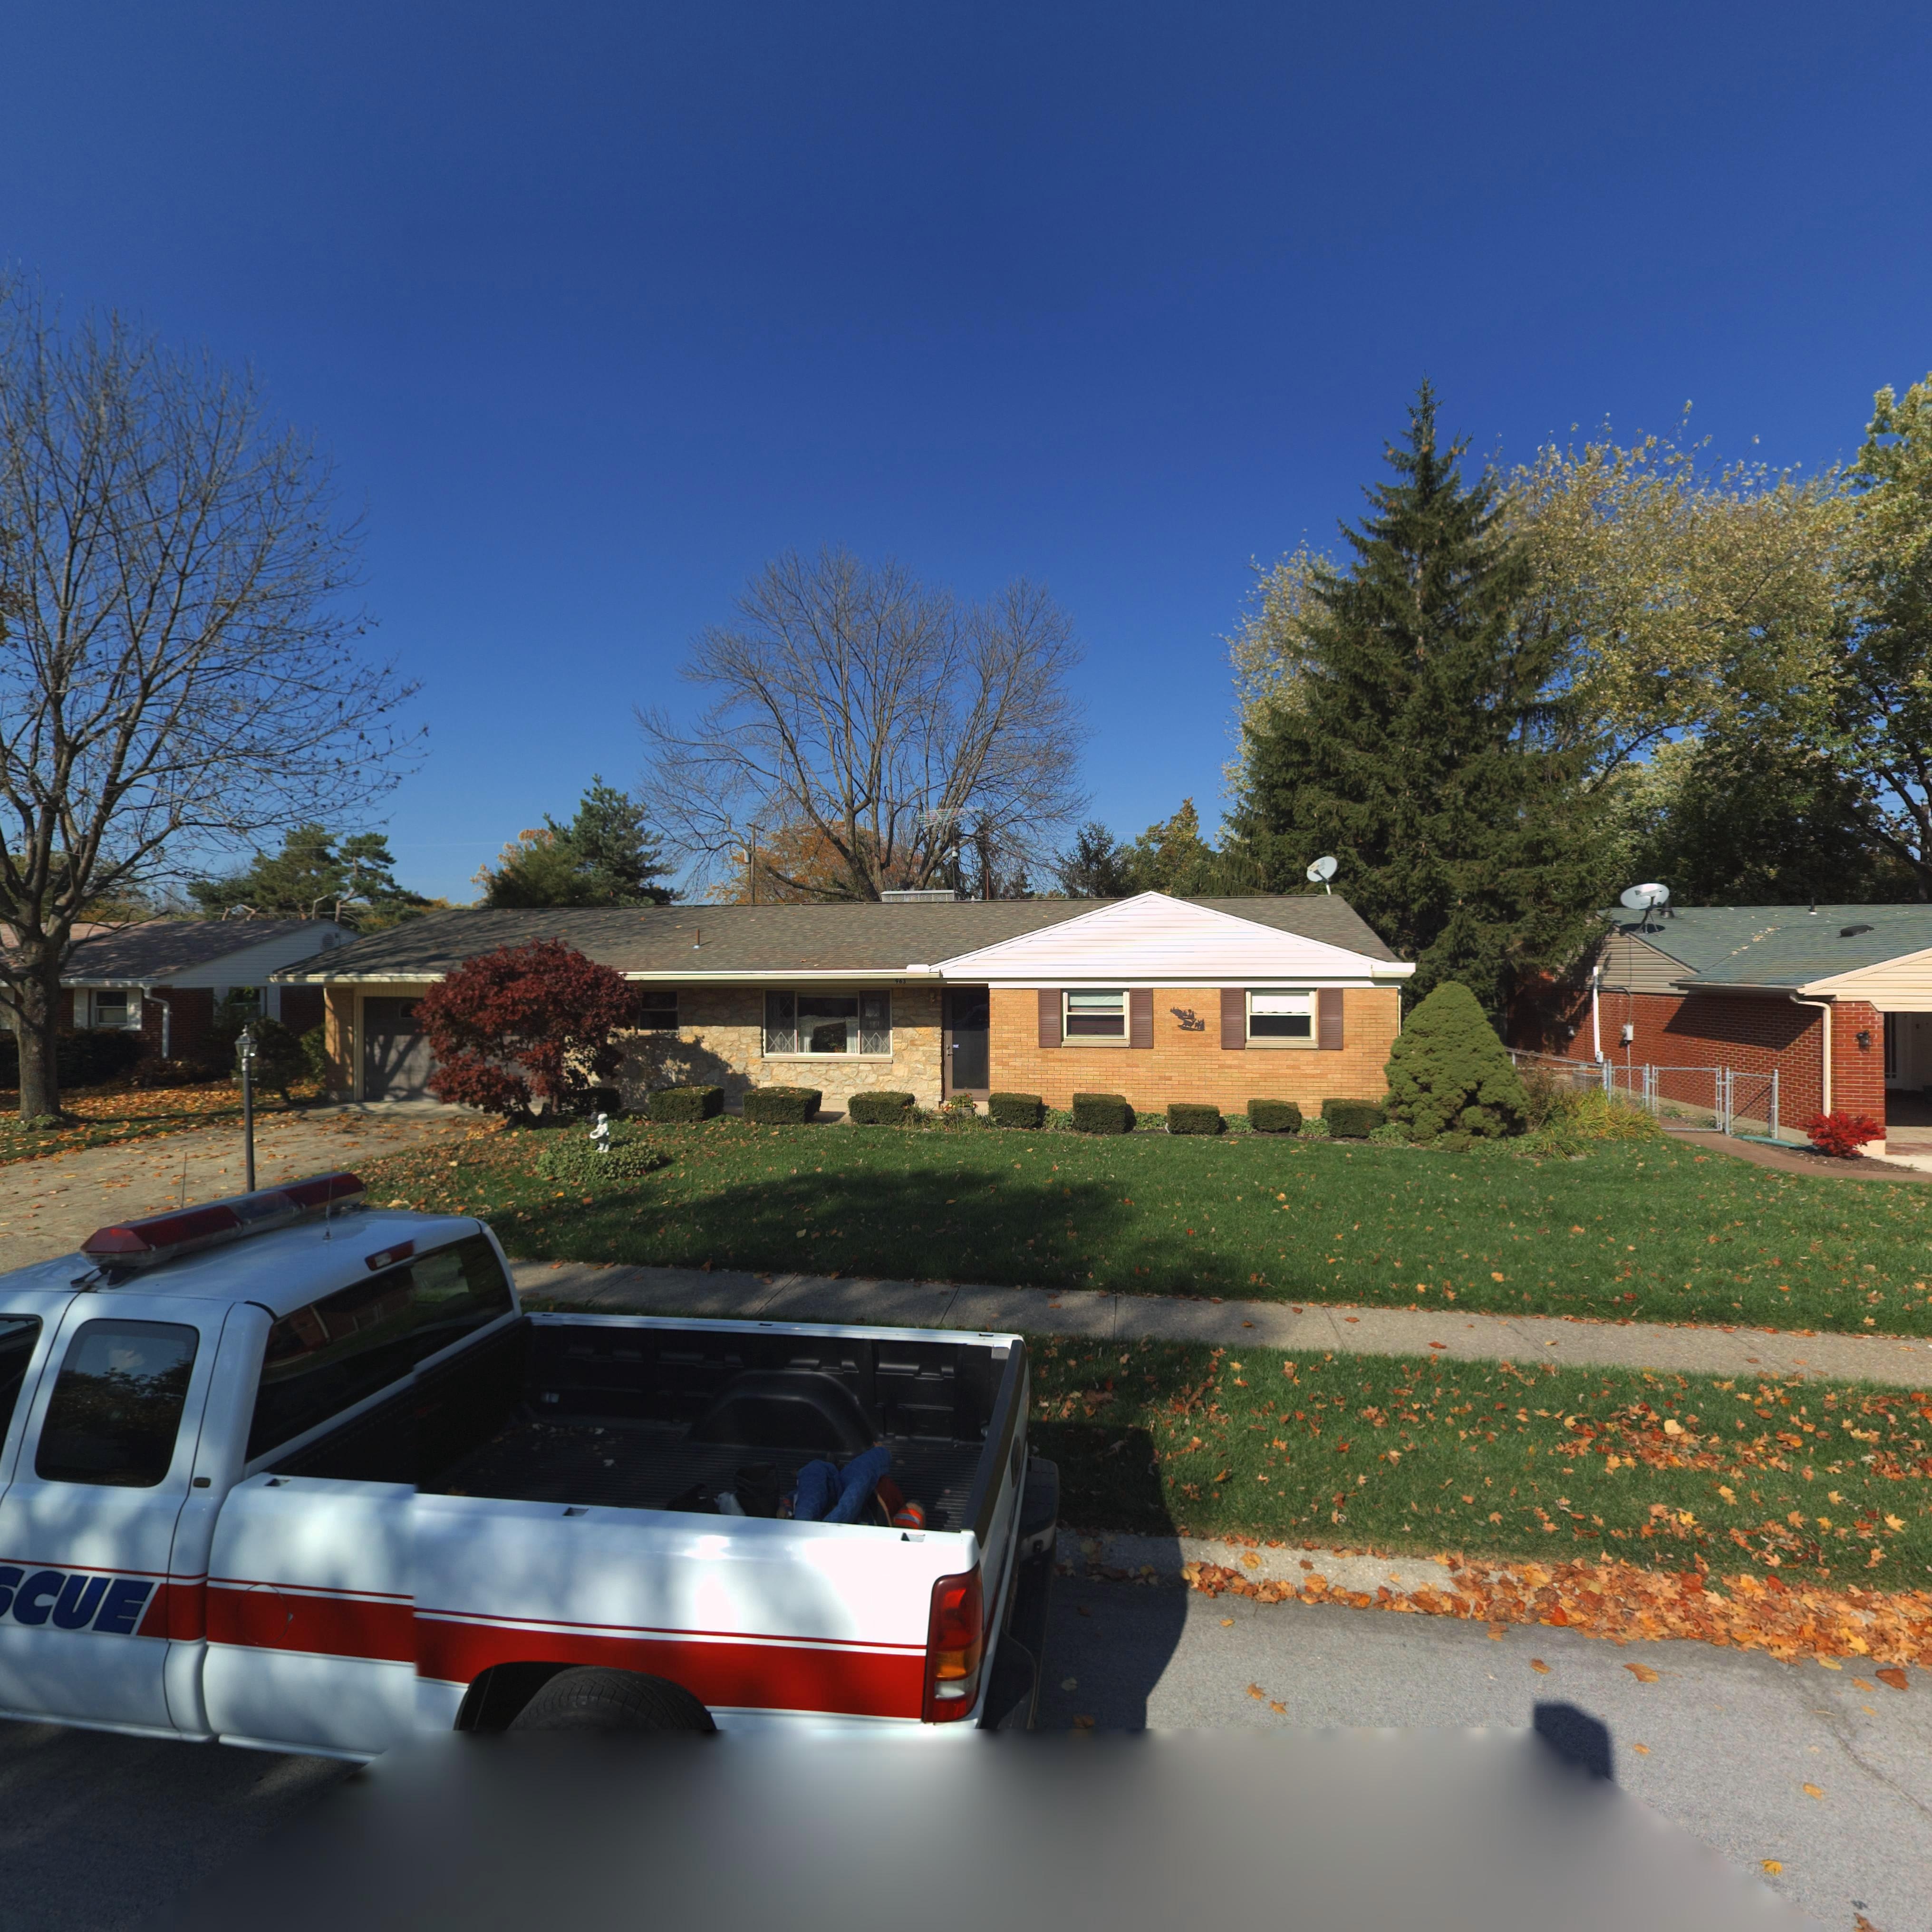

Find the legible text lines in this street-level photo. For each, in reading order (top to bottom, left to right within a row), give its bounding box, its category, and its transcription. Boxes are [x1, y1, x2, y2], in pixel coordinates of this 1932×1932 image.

[895, 978, 907, 985] StreetNumber: 963
[9, 1566, 160, 1639] None: CUE